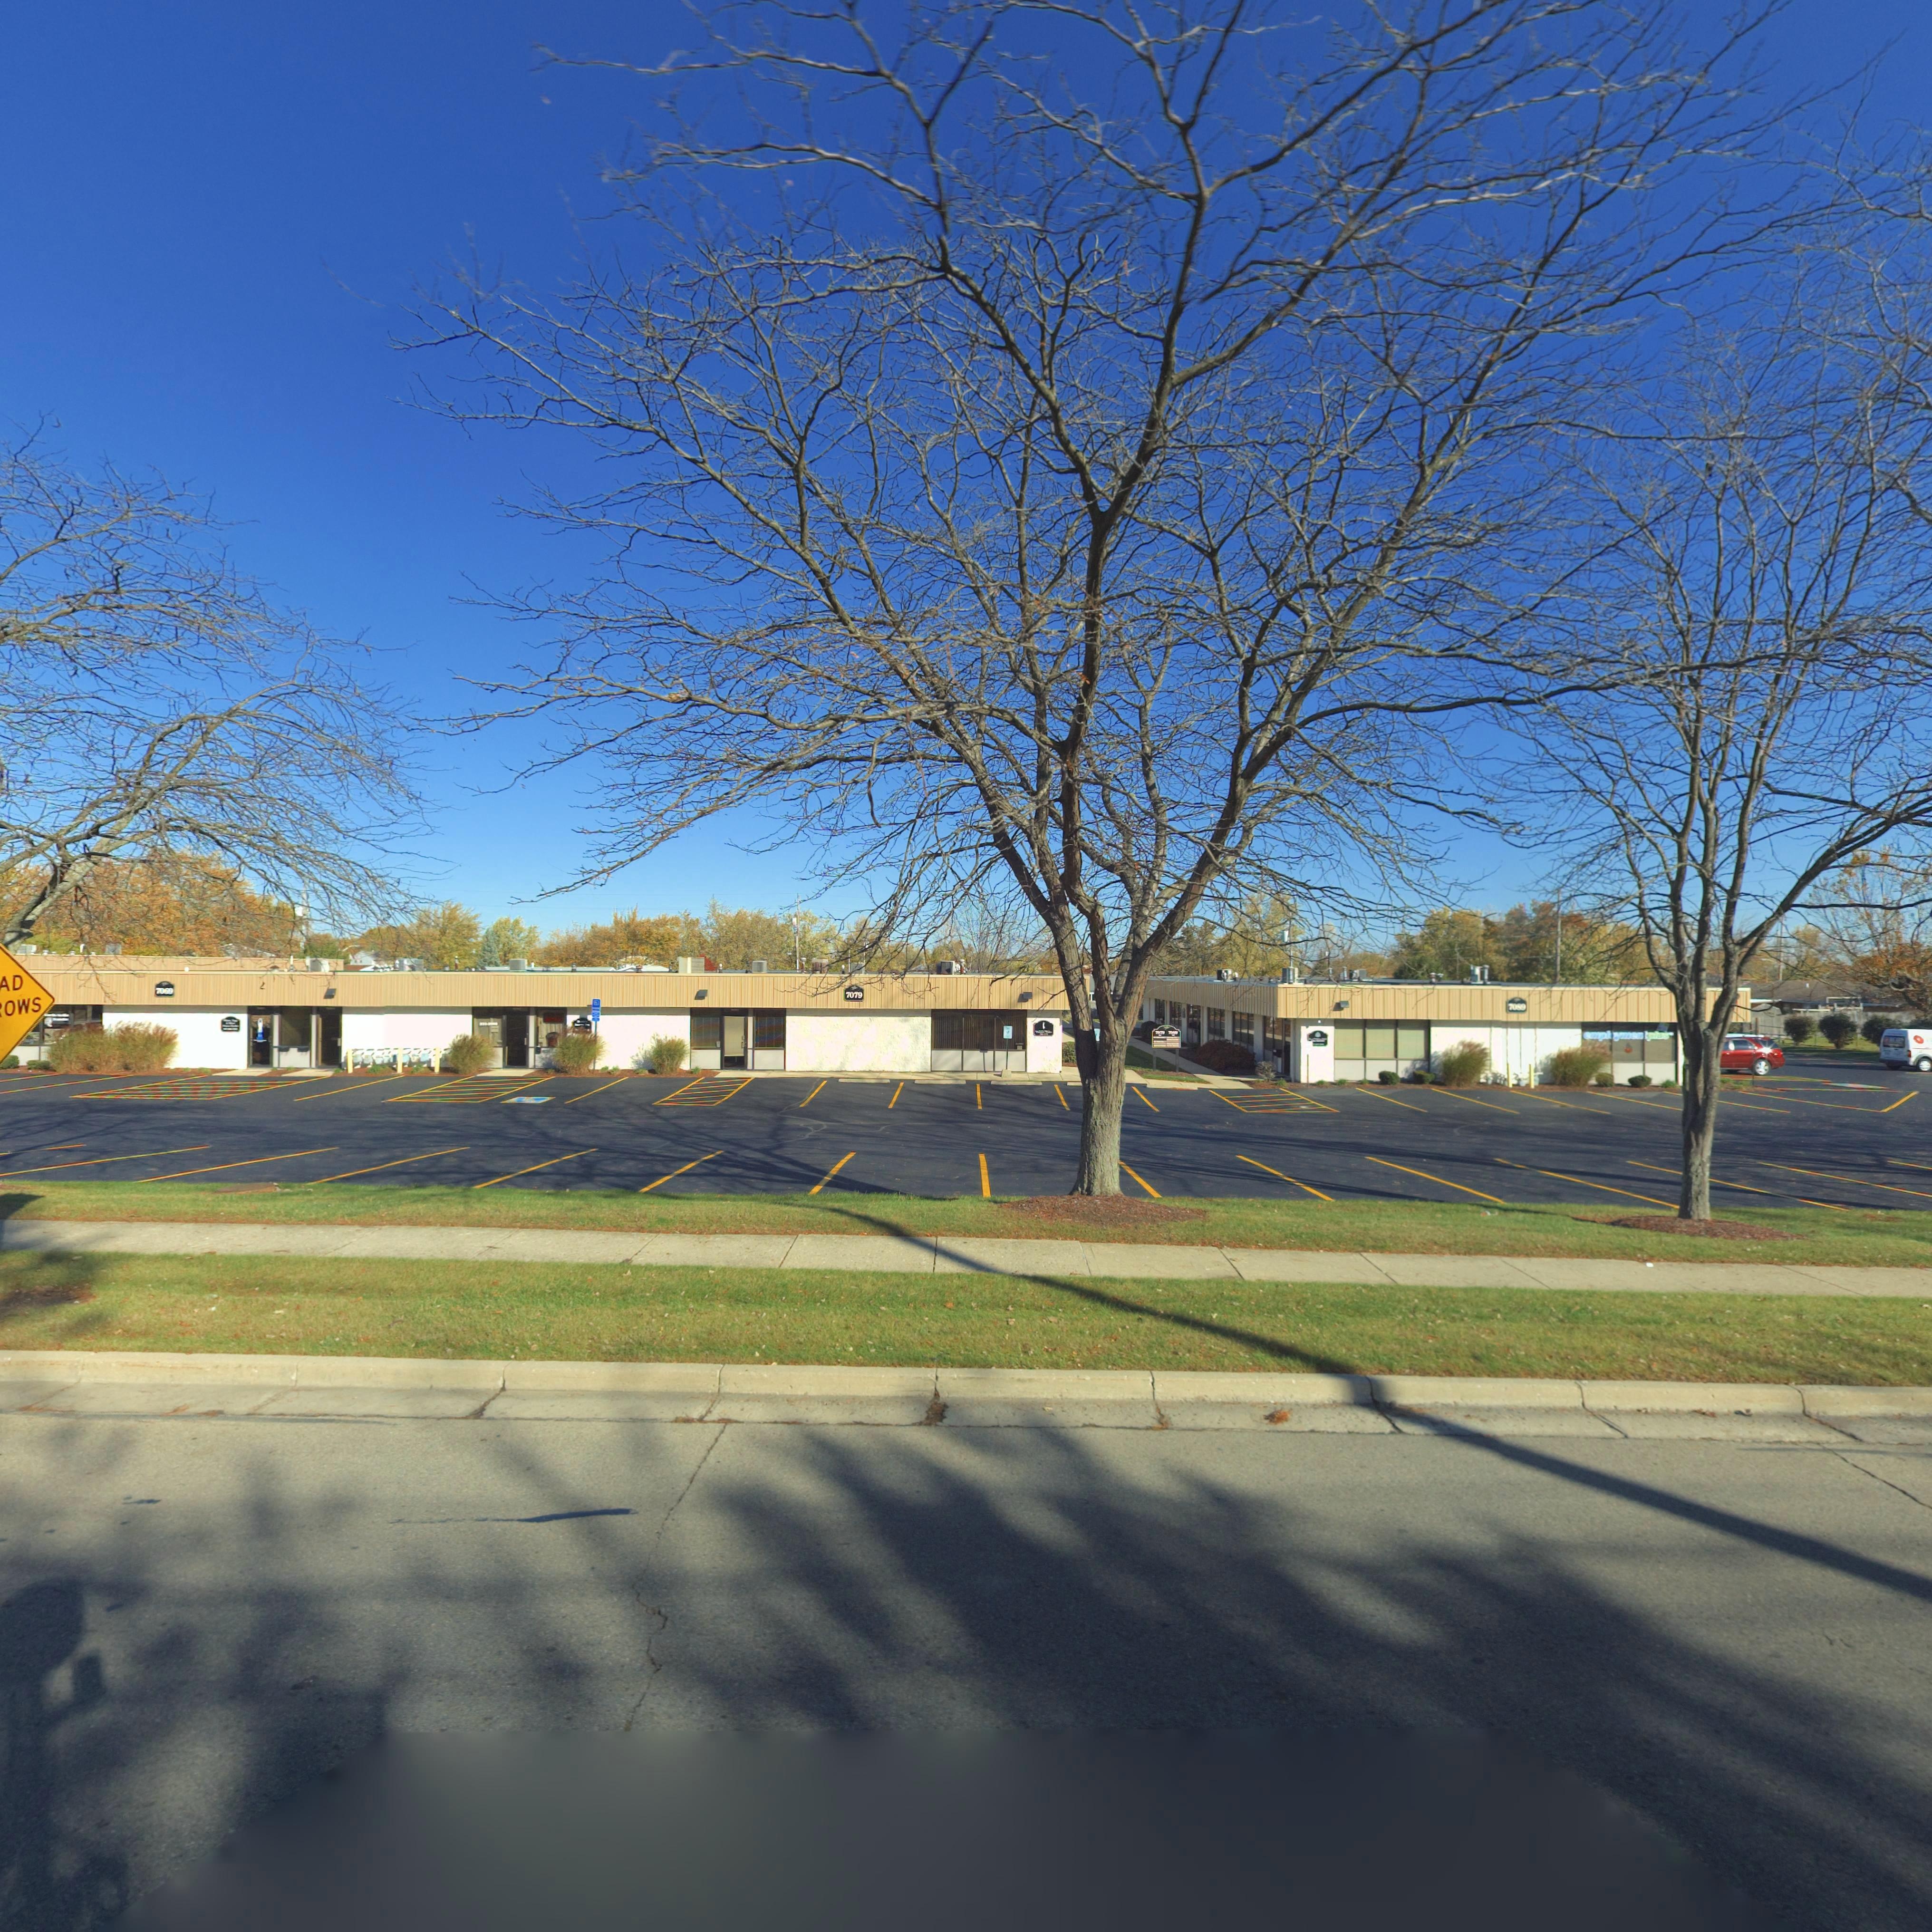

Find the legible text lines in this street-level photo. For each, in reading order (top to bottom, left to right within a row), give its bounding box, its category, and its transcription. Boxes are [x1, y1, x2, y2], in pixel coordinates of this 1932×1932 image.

[0, 974, 24, 993] None: AD
[155, 986, 174, 996] StreetNumber: 70**
[845, 990, 864, 999] StreetNumber: 7079
[3, 996, 42, 1017] None: OWS
[1507, 1002, 1527, 1013] StreetNumber: 7089